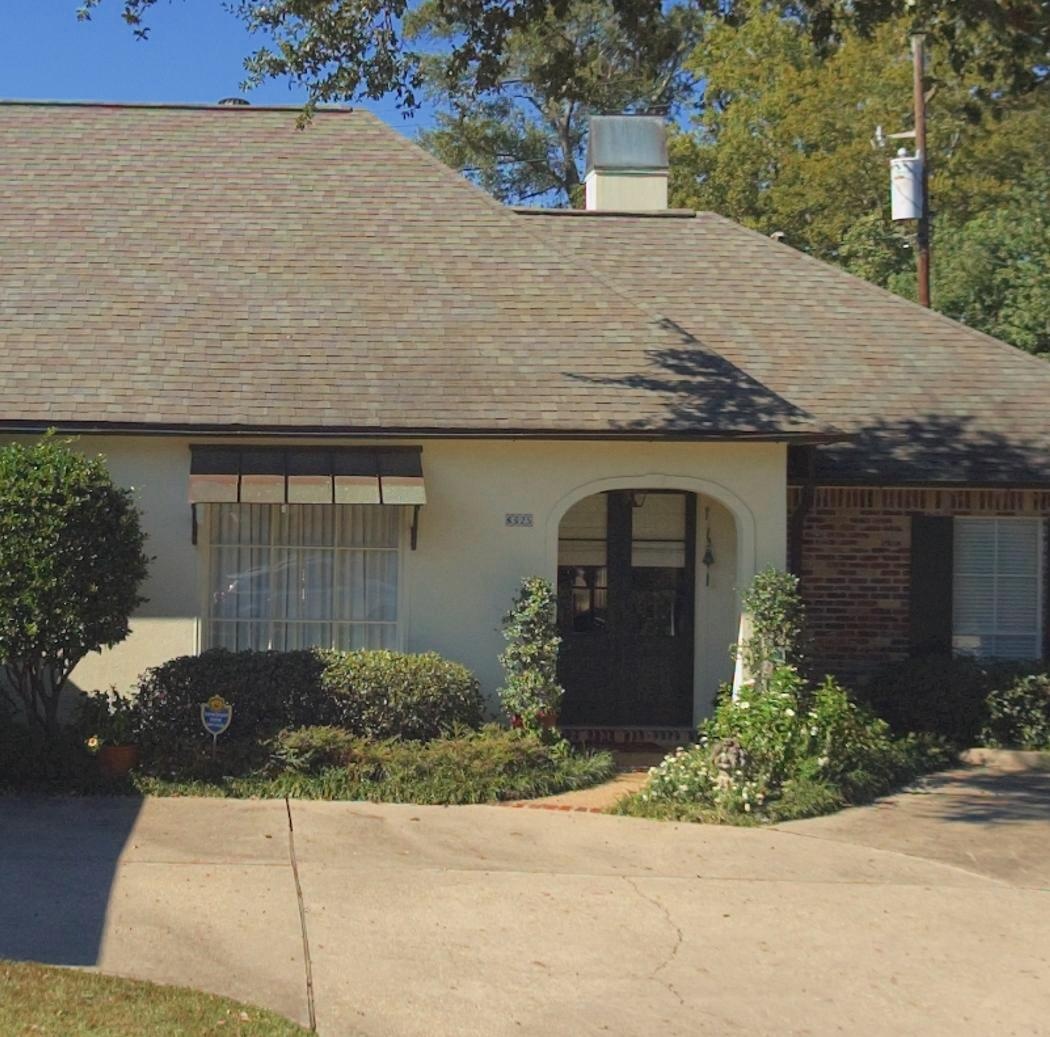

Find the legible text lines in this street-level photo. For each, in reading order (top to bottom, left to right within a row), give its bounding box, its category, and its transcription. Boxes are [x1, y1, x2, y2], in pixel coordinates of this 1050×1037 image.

[505, 513, 532, 526] StreetNumber: 8325